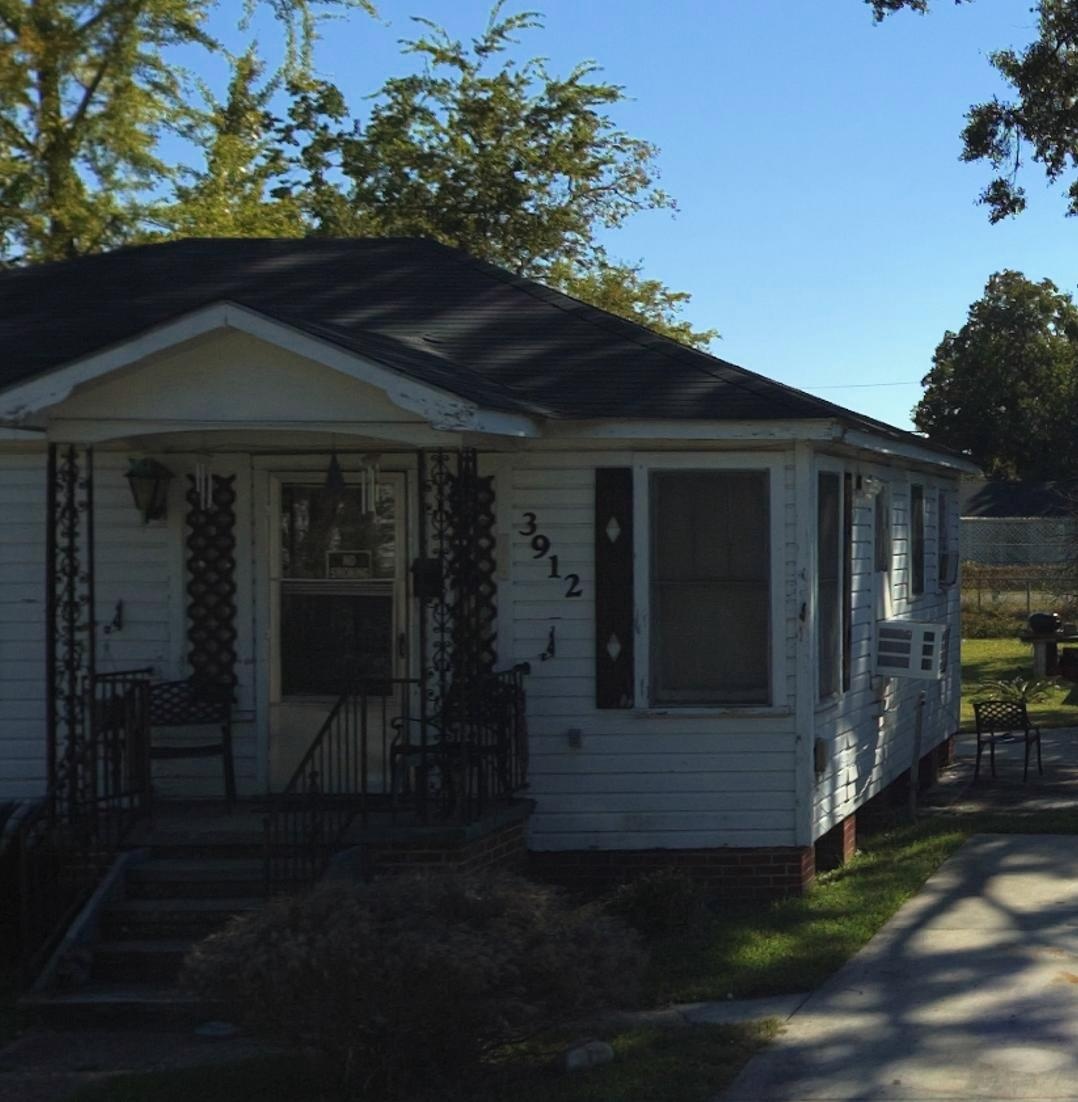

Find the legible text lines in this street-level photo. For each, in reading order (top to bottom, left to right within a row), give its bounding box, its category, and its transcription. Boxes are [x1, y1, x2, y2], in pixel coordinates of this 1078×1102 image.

[341, 554, 357, 567] None: NO
[518, 511, 584, 599] StreetNumber: 3912
[329, 566, 370, 580] None: SMOKING